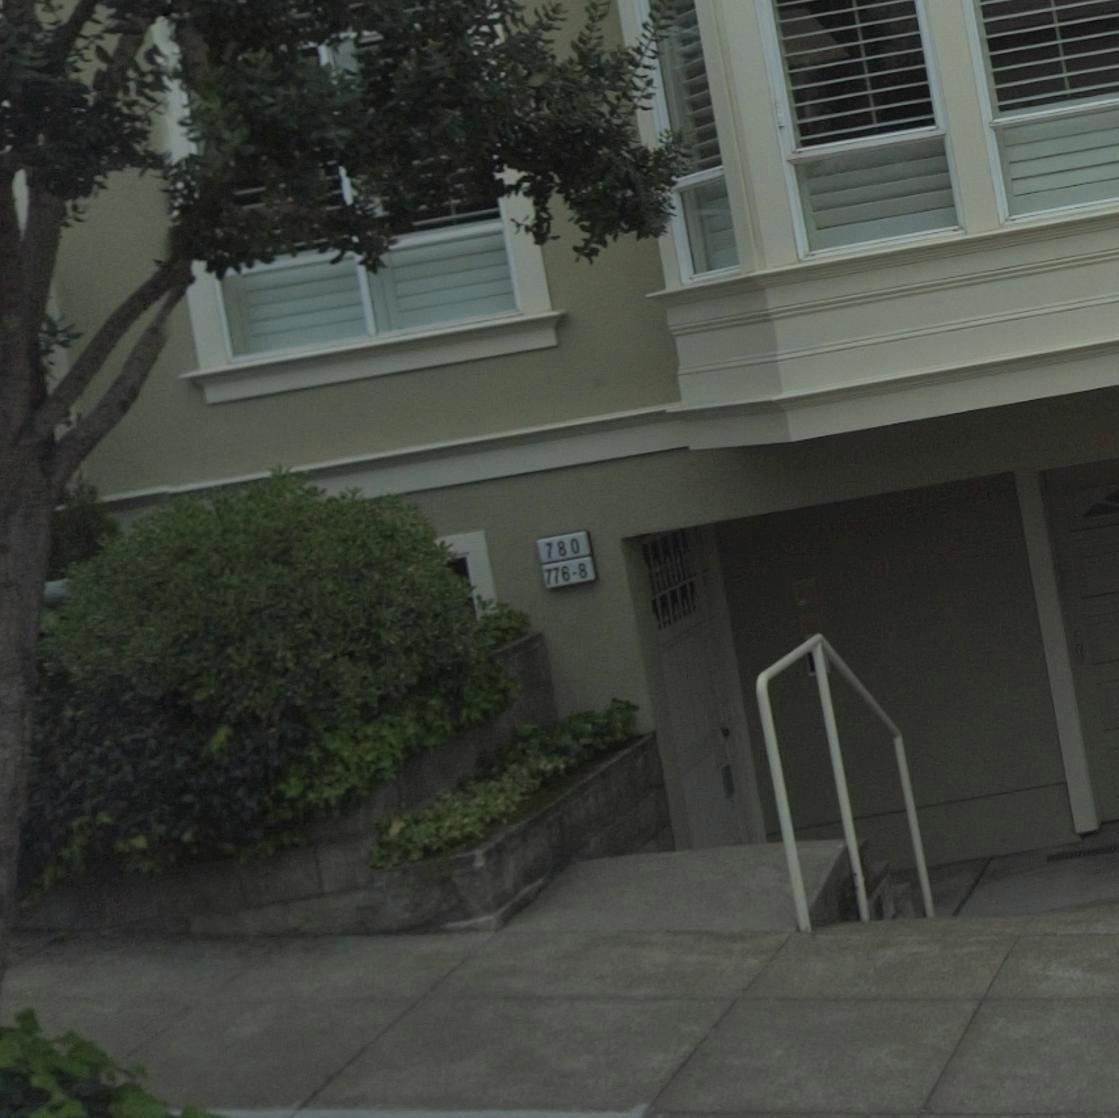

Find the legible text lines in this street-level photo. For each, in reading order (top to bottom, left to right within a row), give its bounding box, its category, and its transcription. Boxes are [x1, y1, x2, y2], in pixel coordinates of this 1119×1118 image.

[543, 535, 584, 561] StreetNumber: 780
[542, 560, 591, 586] StreetNumber: 776-8